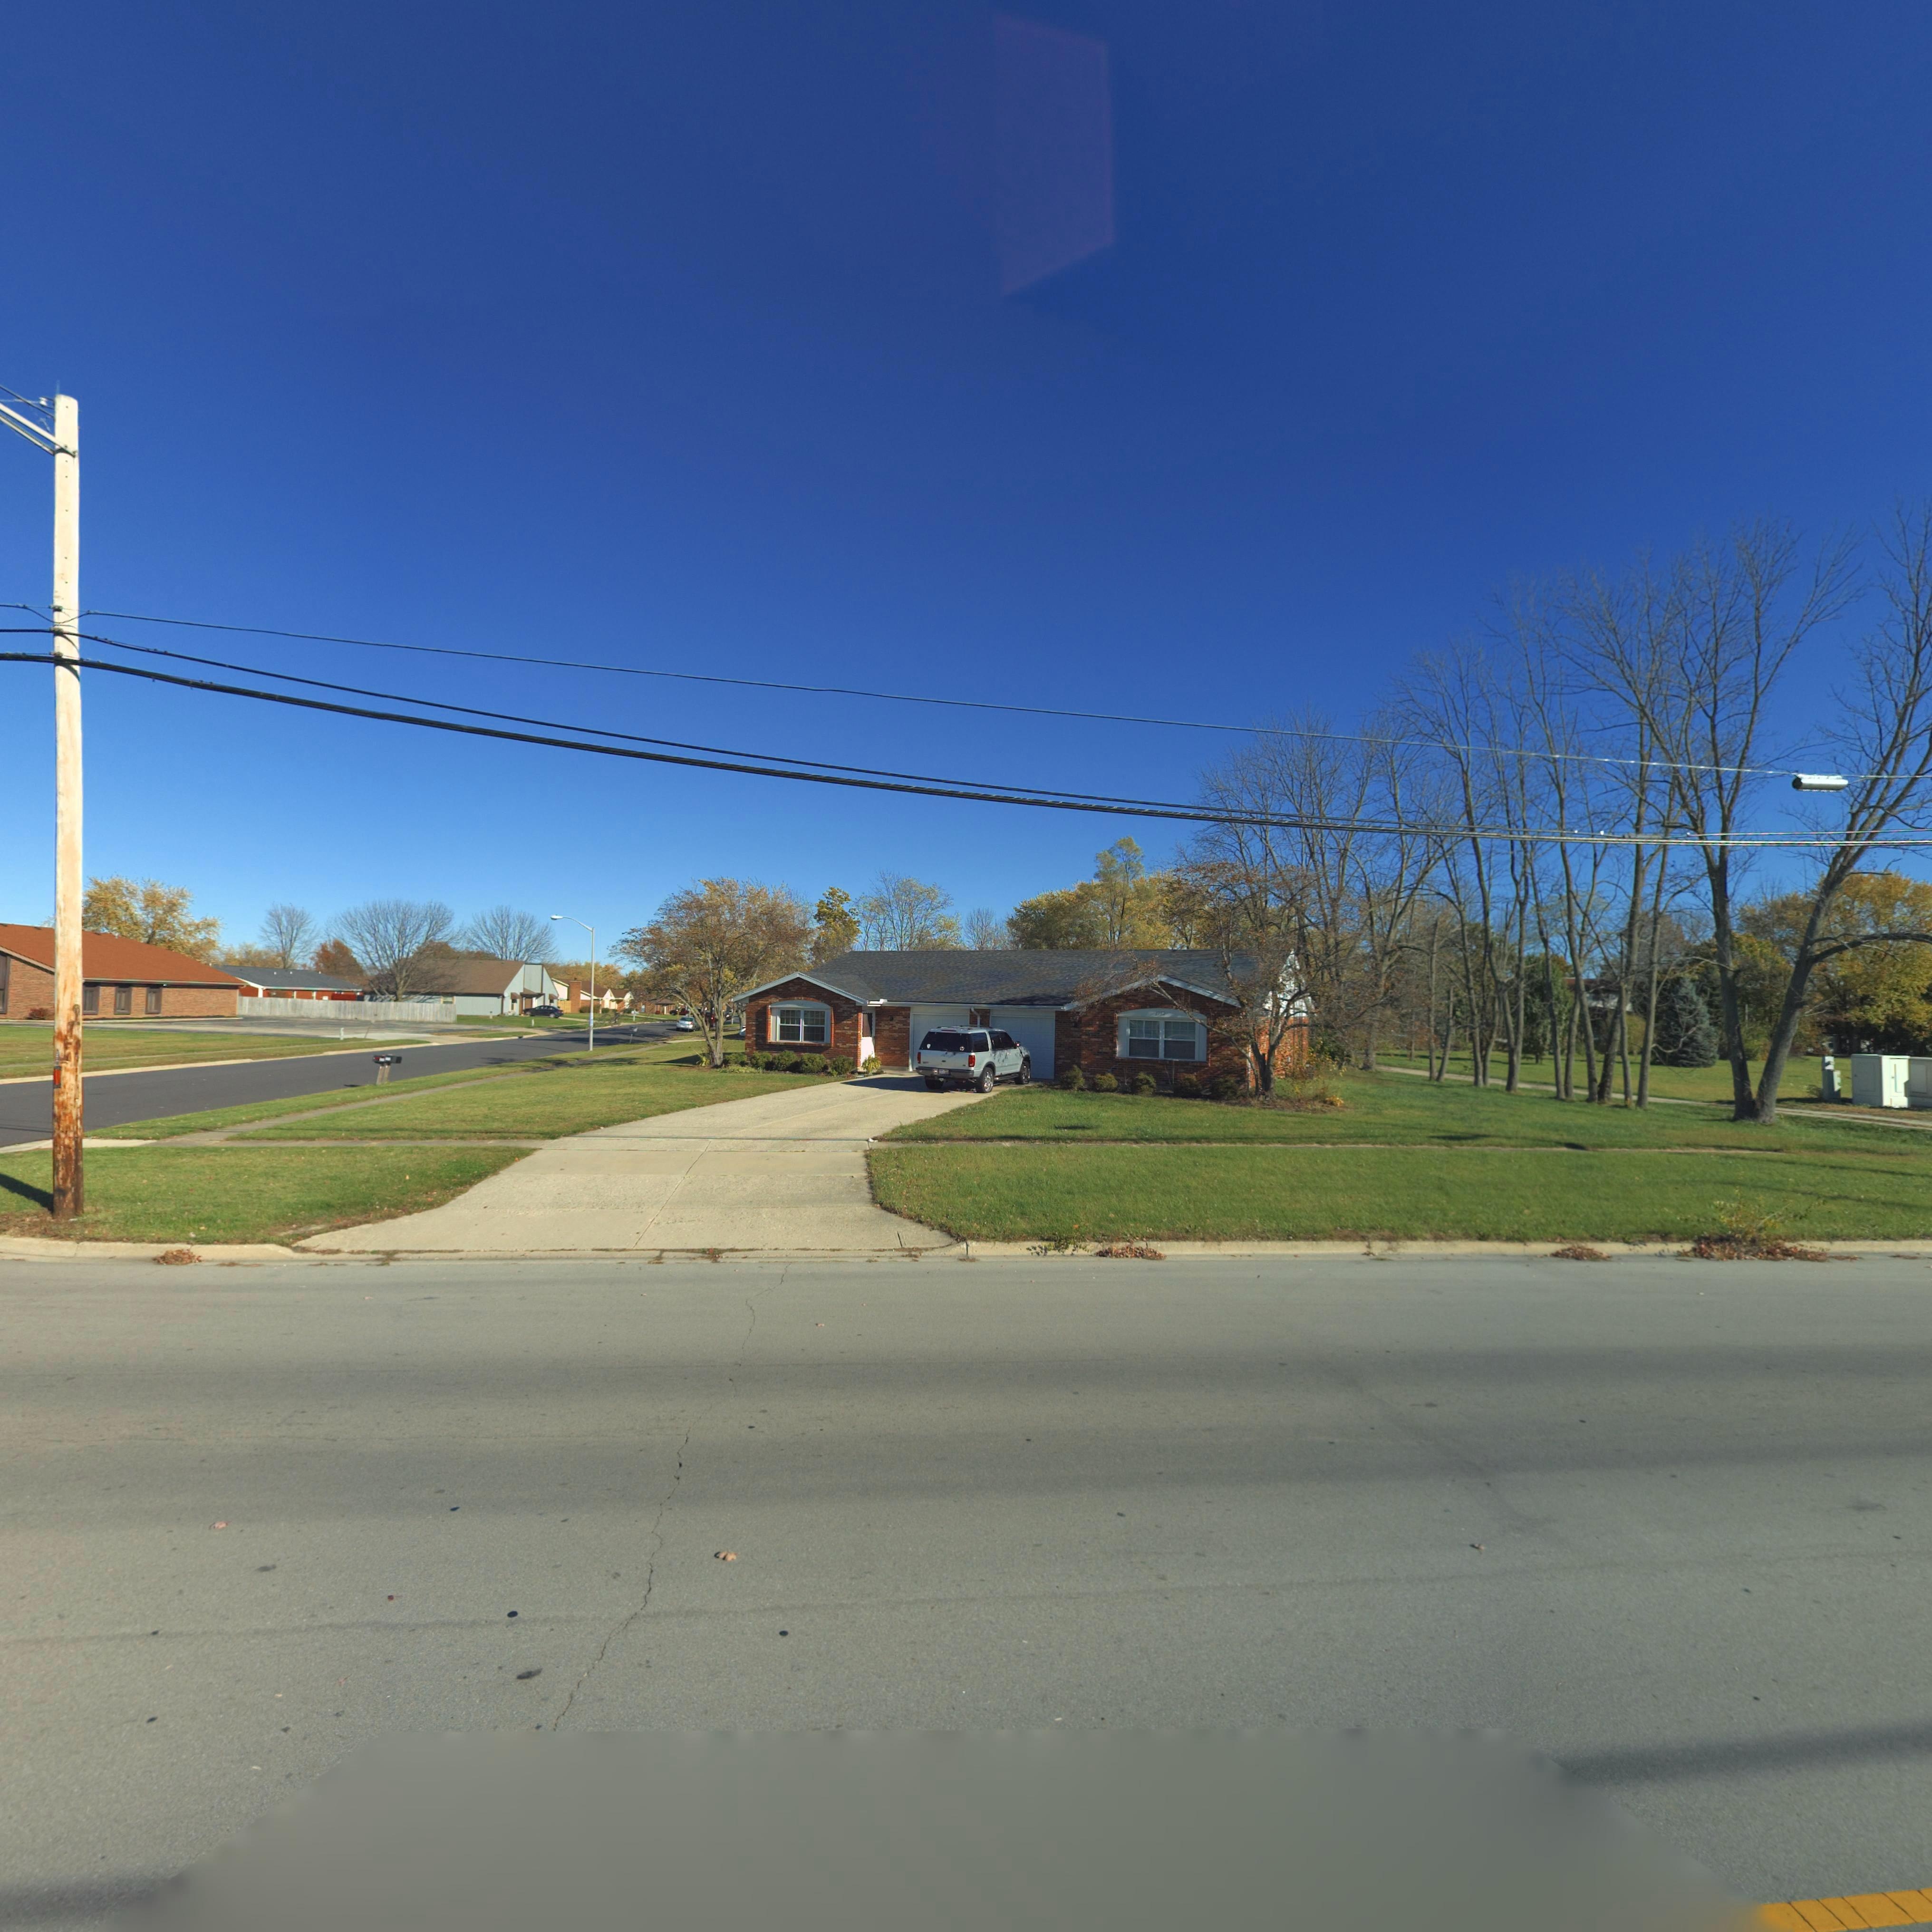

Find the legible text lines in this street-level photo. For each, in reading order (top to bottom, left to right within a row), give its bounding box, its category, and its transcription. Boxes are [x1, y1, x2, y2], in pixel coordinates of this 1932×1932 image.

[797, 1002, 804, 1006] StreetNumber: 125*
[1155, 1011, 1166, 1016] StreetNumber: 1252